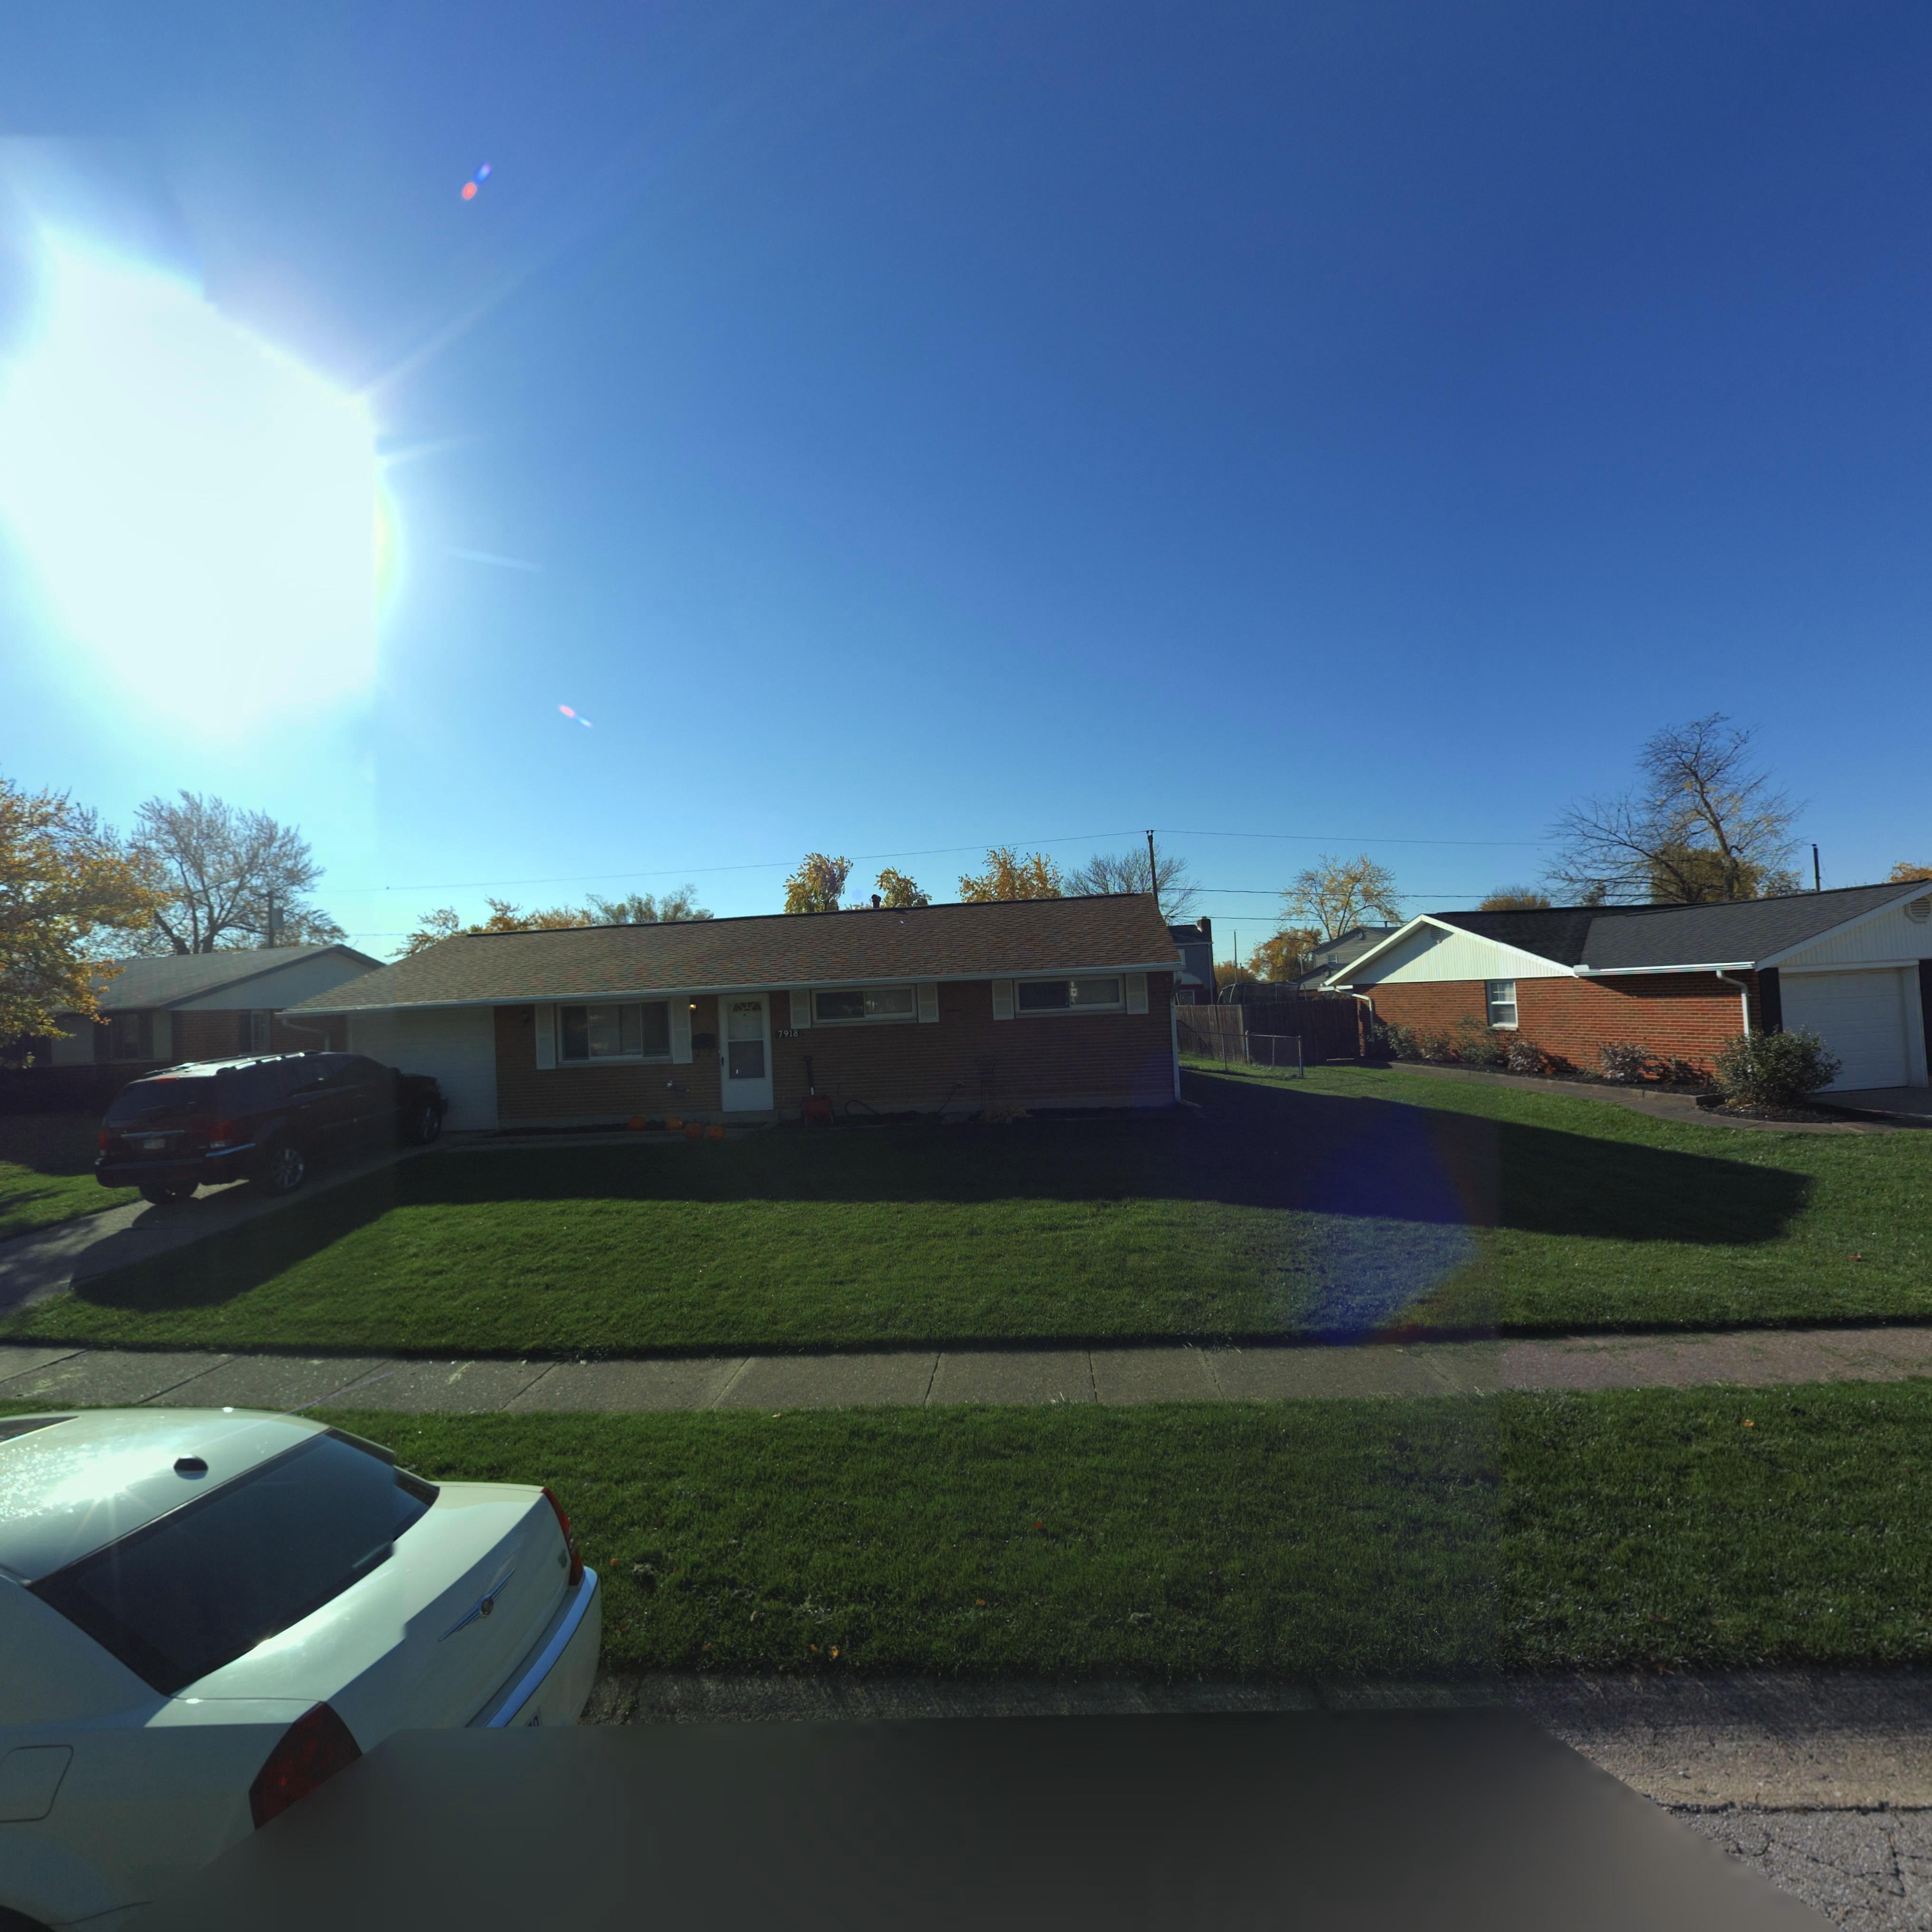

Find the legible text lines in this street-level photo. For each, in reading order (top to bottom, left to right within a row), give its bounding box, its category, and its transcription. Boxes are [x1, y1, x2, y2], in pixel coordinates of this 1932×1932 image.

[777, 1029, 799, 1038] StreetNumber: 7918